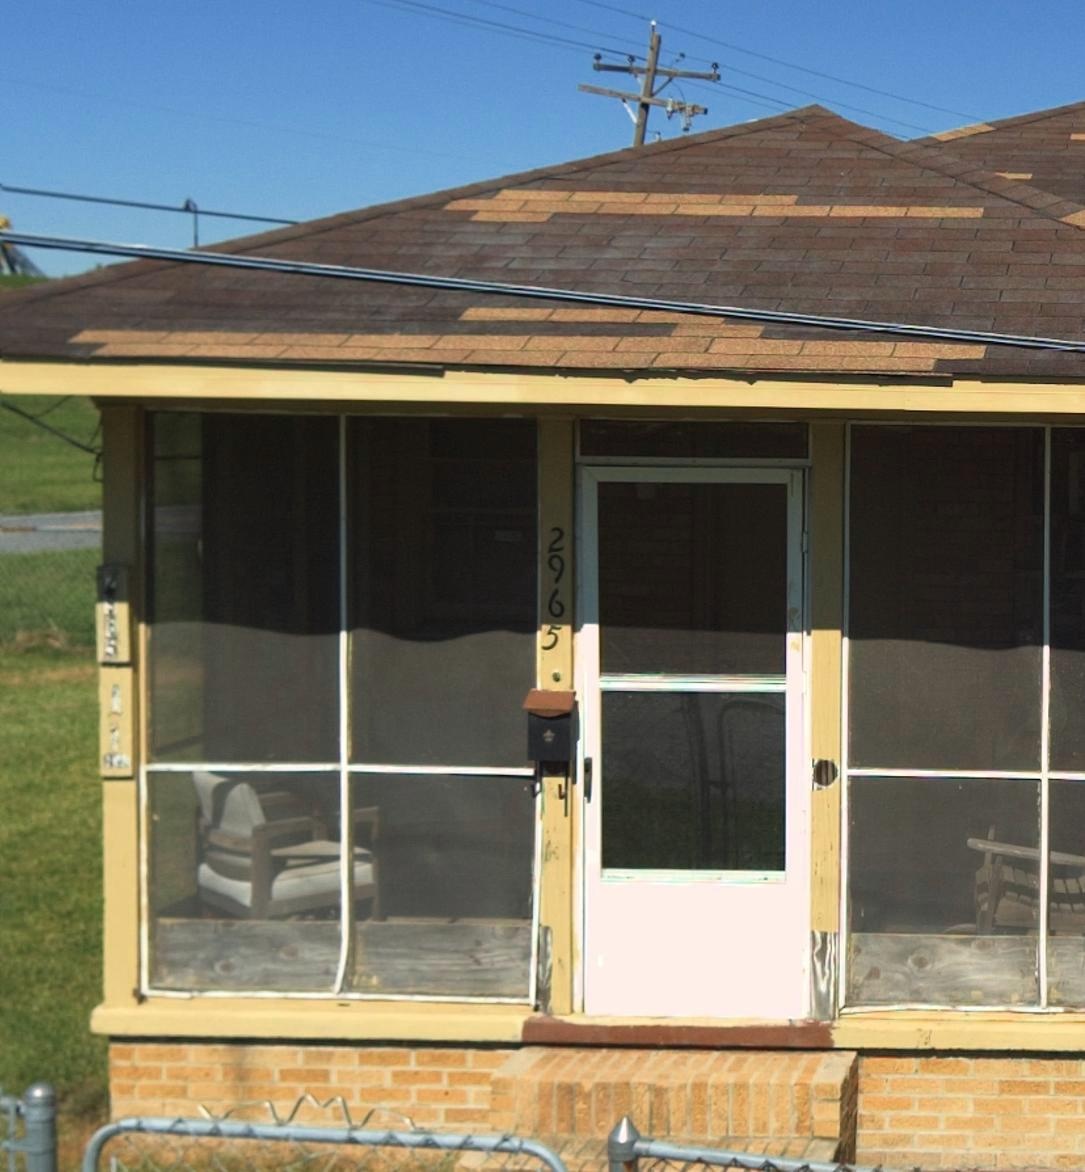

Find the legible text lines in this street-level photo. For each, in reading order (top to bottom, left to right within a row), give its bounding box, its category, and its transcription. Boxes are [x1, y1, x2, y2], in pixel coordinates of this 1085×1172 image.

[104, 570, 119, 660] StreetNumber: 2*65
[540, 526, 567, 652] StreetNumber: 2965